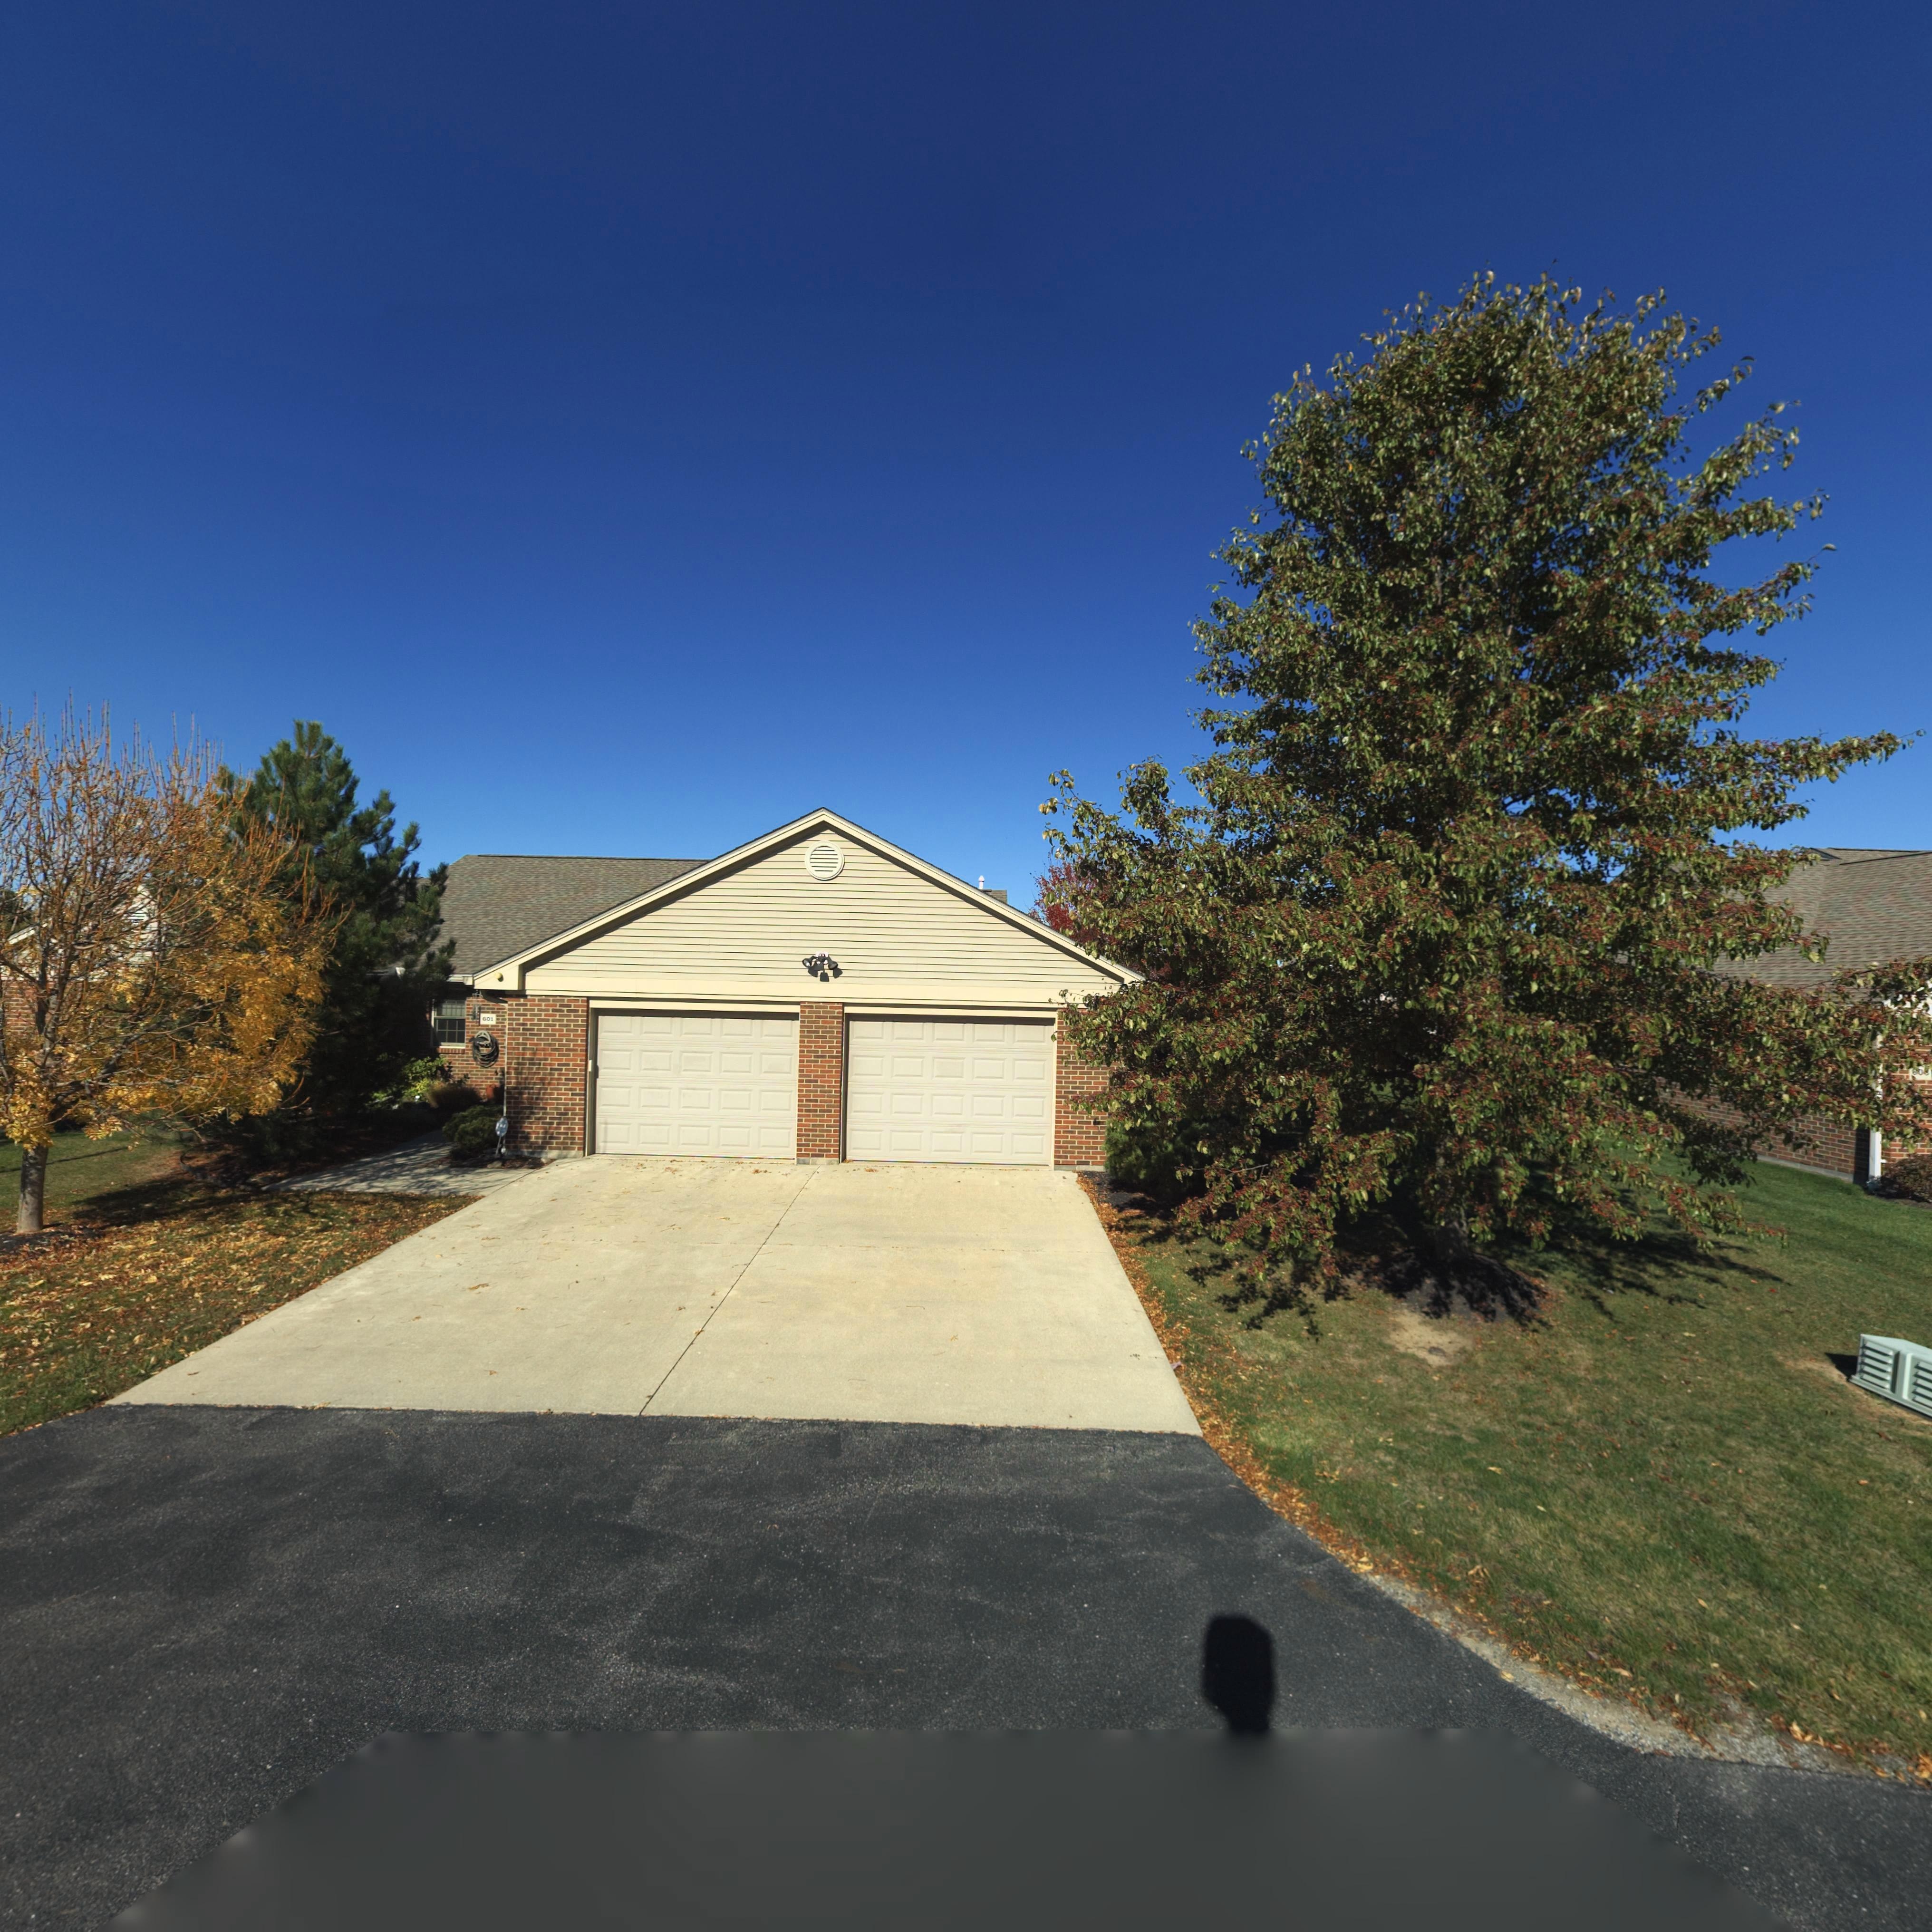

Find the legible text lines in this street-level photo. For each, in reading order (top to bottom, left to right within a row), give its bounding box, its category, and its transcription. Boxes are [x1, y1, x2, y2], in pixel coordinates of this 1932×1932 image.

[482, 1016, 493, 1022] StreetNumber: 601